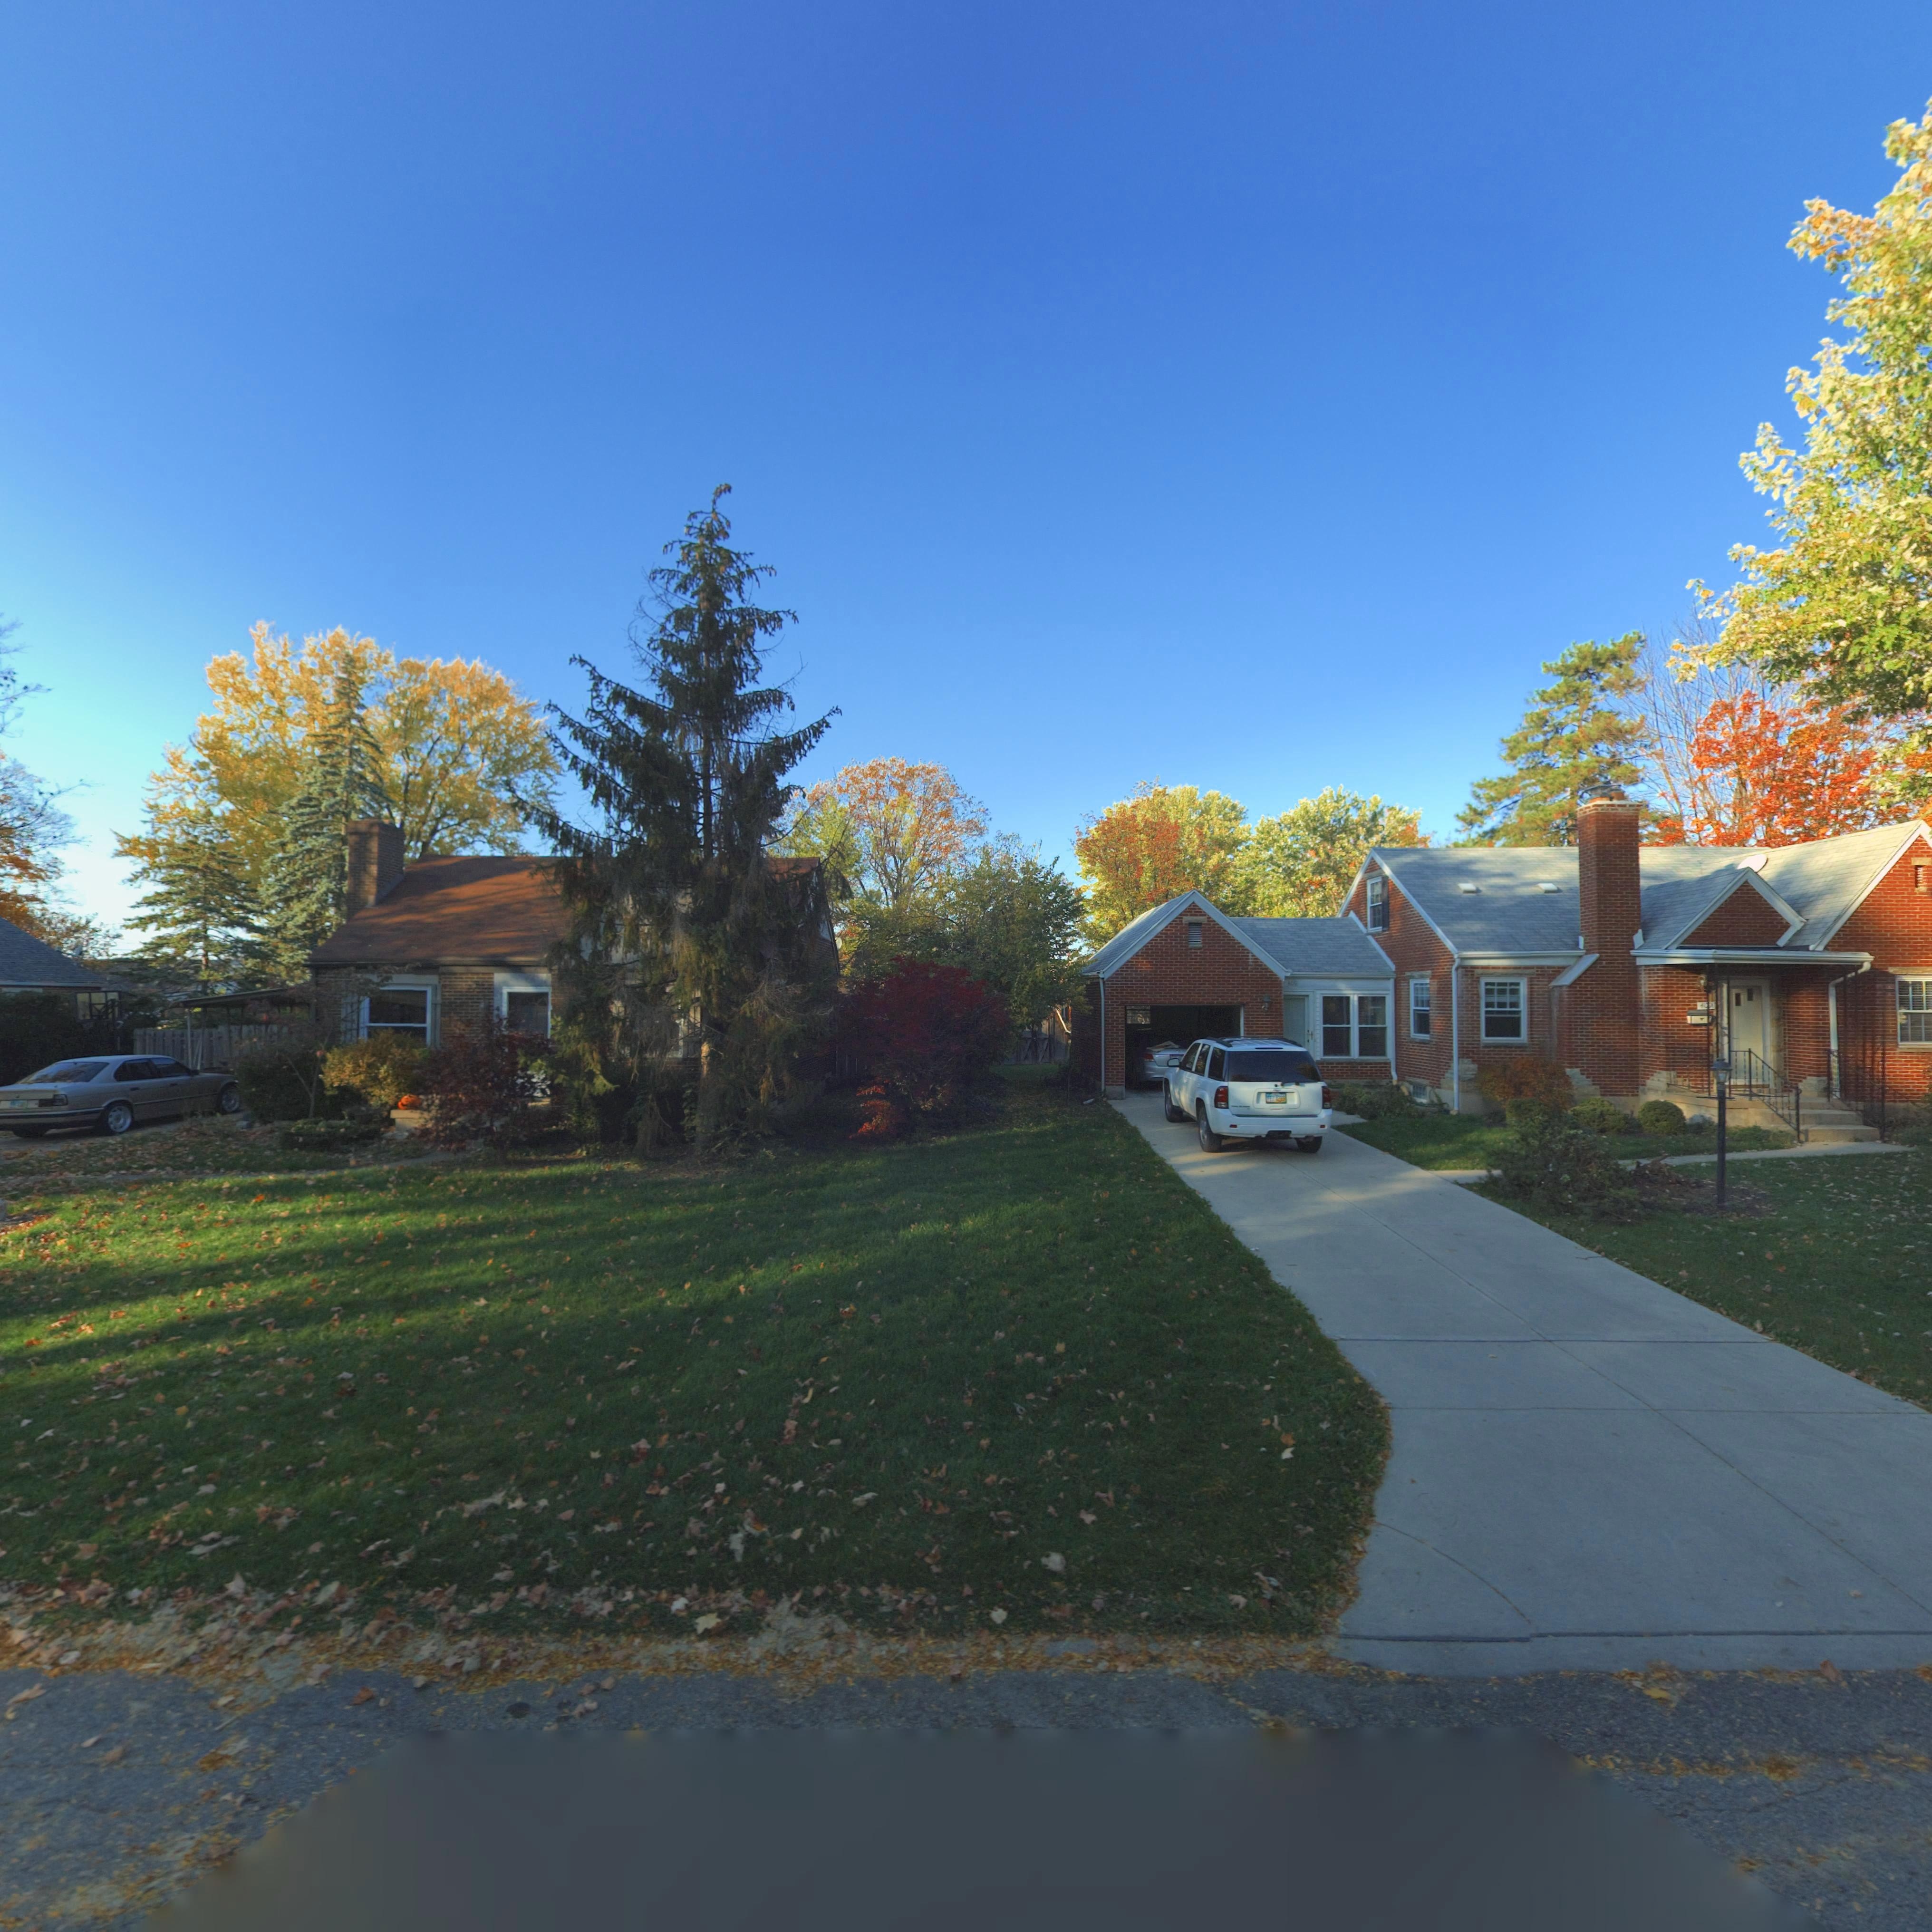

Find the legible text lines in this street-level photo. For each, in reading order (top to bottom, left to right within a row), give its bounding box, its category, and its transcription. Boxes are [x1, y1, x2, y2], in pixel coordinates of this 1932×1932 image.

[1287, 981, 1298, 986] StreetNumber: *09
[1700, 1002, 1713, 1008] StreetNumber: 4**
[495, 1005, 500, 1020] StreetNumber: 4*